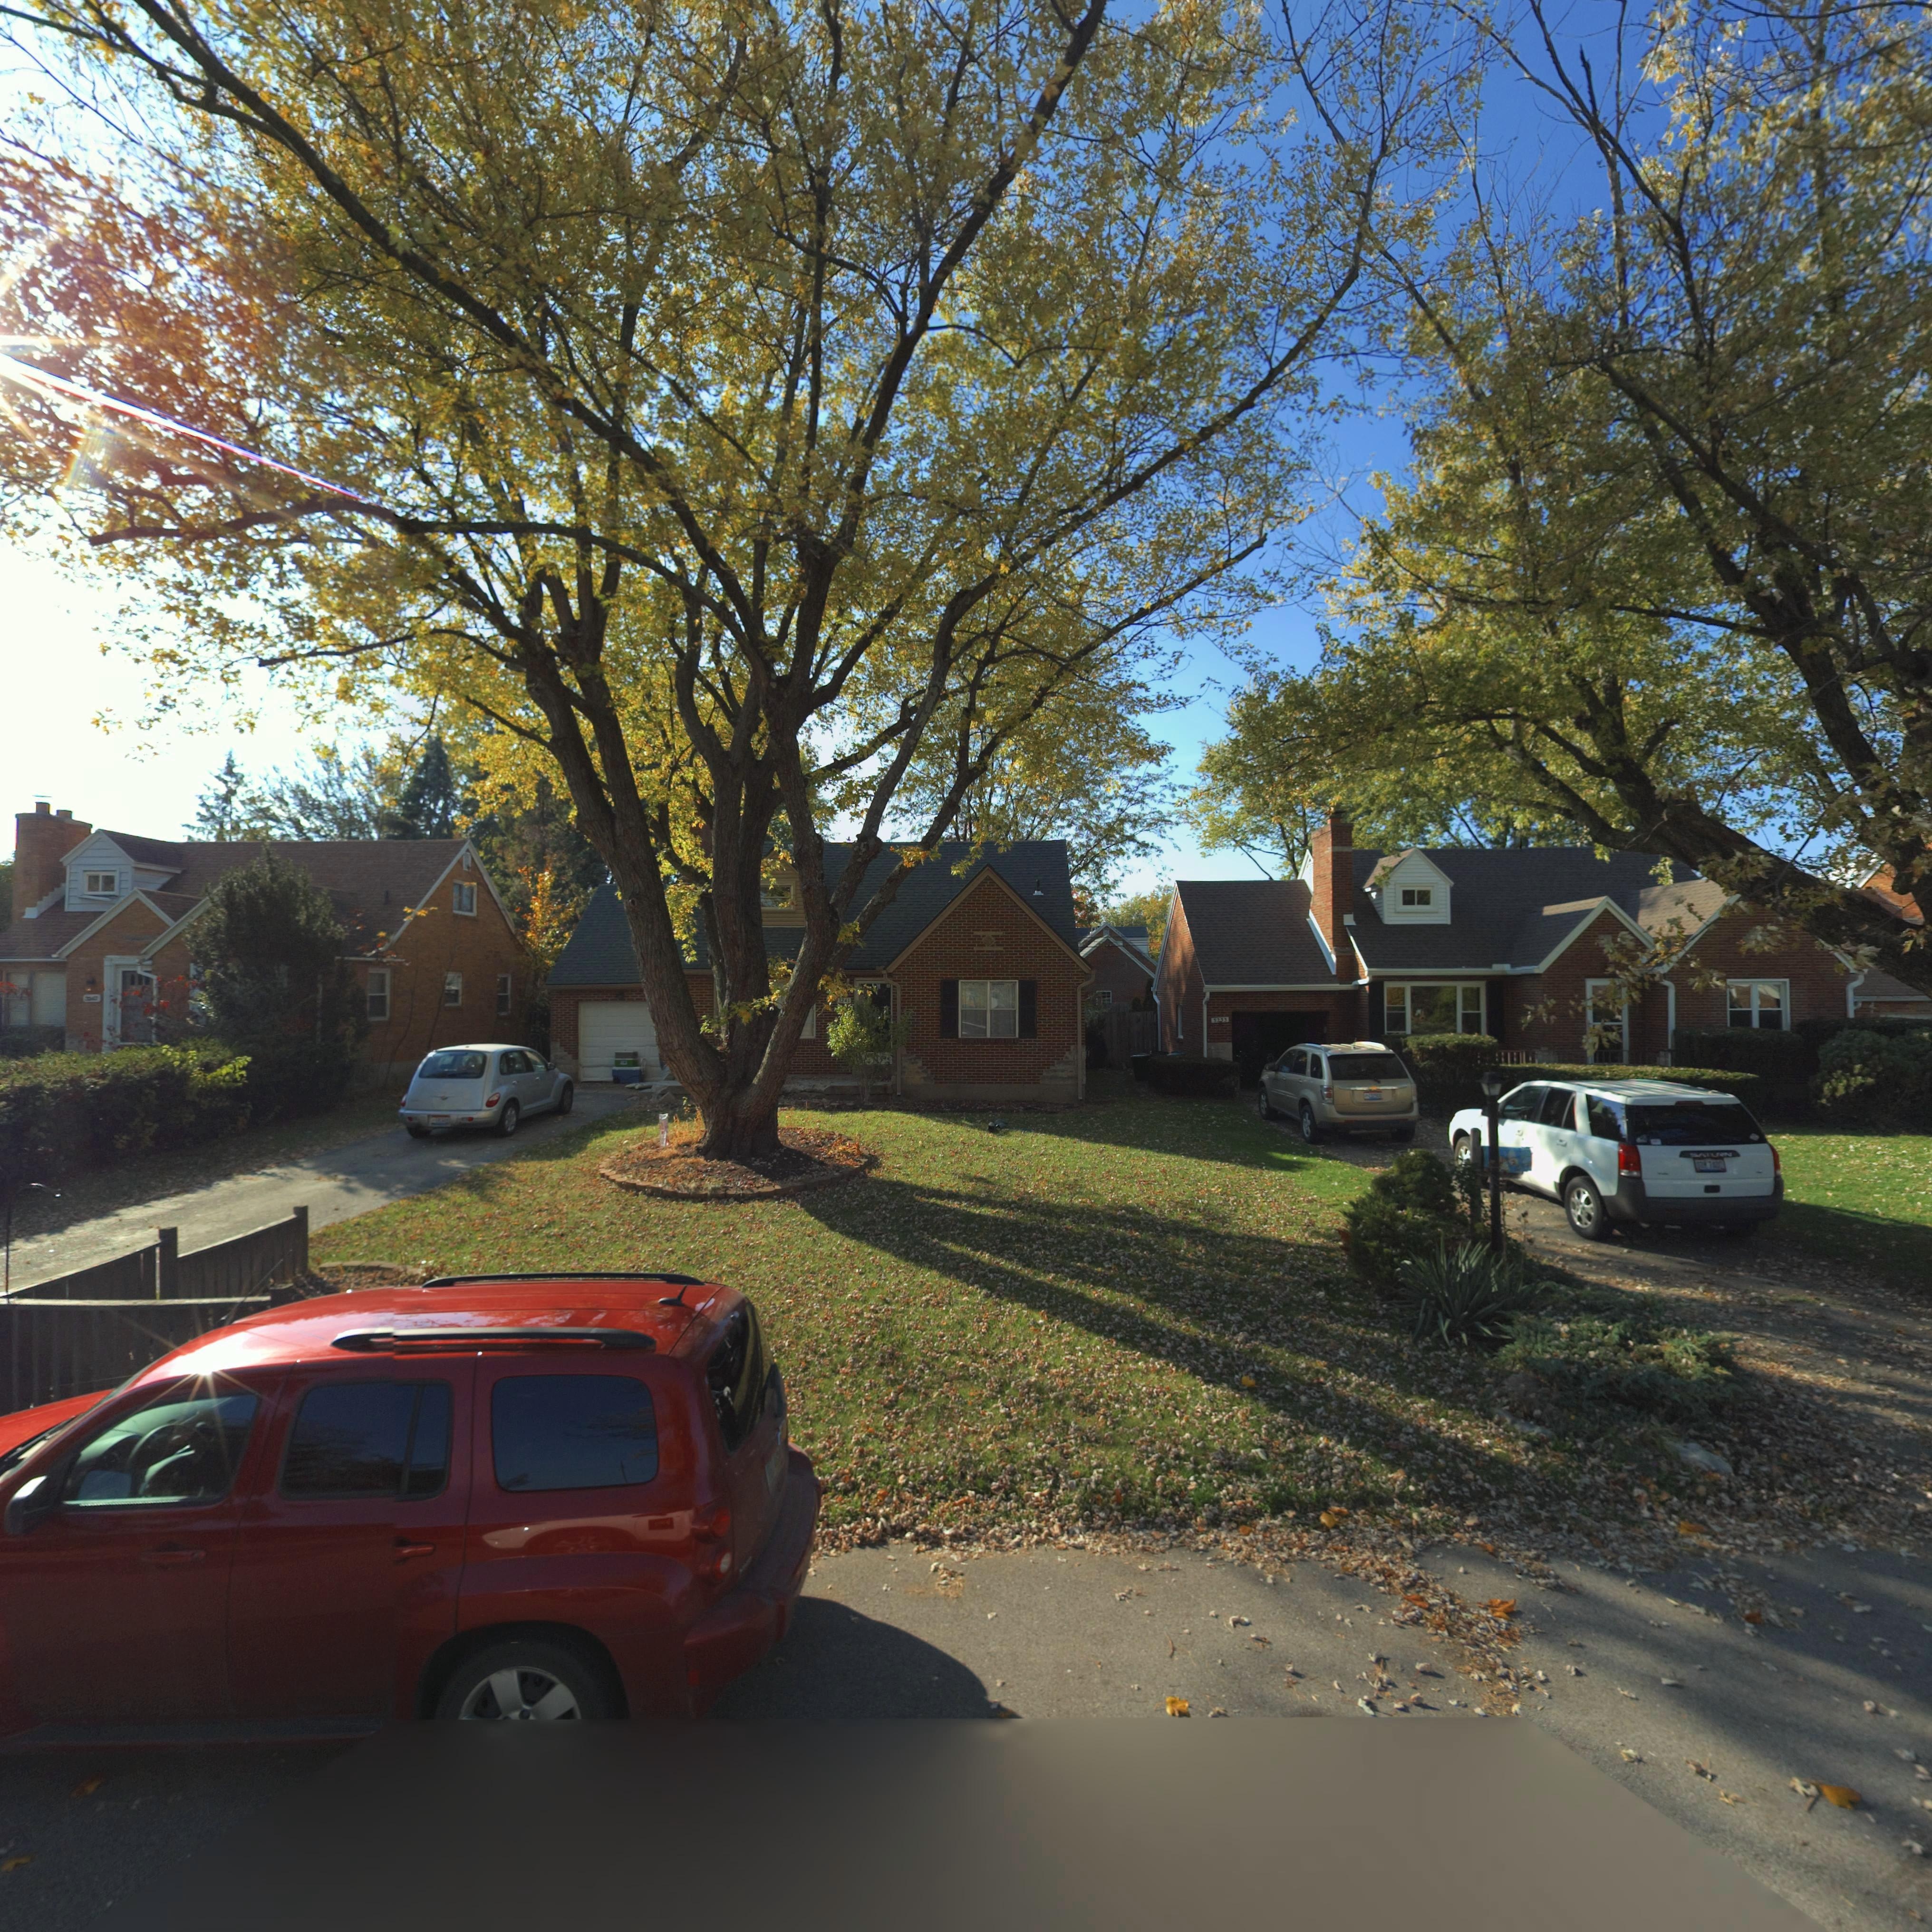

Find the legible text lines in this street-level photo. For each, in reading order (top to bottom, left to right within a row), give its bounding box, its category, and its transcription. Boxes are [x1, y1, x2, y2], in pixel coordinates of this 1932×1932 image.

[84, 995, 98, 1001] StreetNumber: 3*47
[838, 998, 850, 1003] StreetNumber: 3241
[1212, 1017, 1227, 1023] StreetNumber: 3233